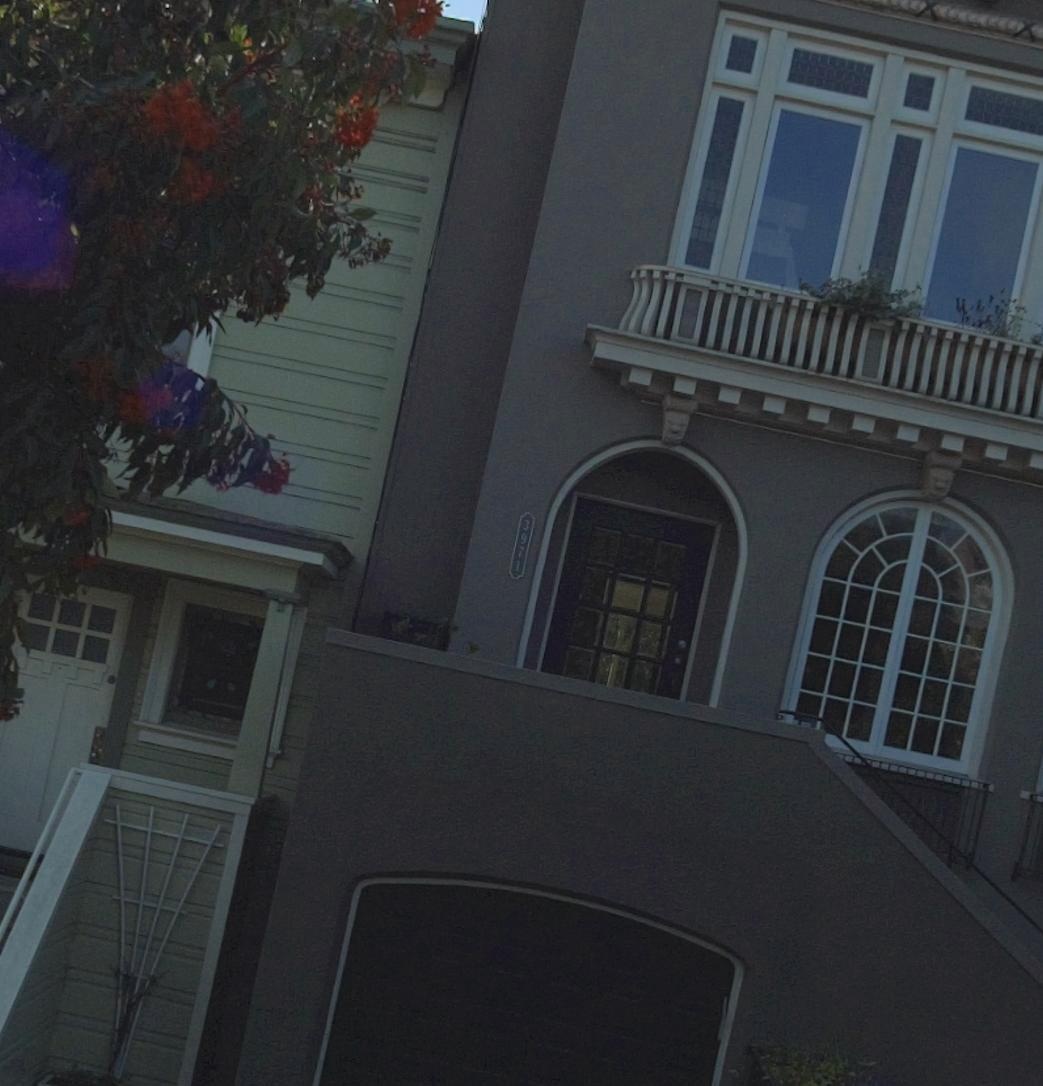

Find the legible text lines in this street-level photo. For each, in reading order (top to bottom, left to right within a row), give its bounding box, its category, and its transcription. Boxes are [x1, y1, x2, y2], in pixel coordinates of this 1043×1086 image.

[514, 519, 533, 574] StreetNumber: 3971